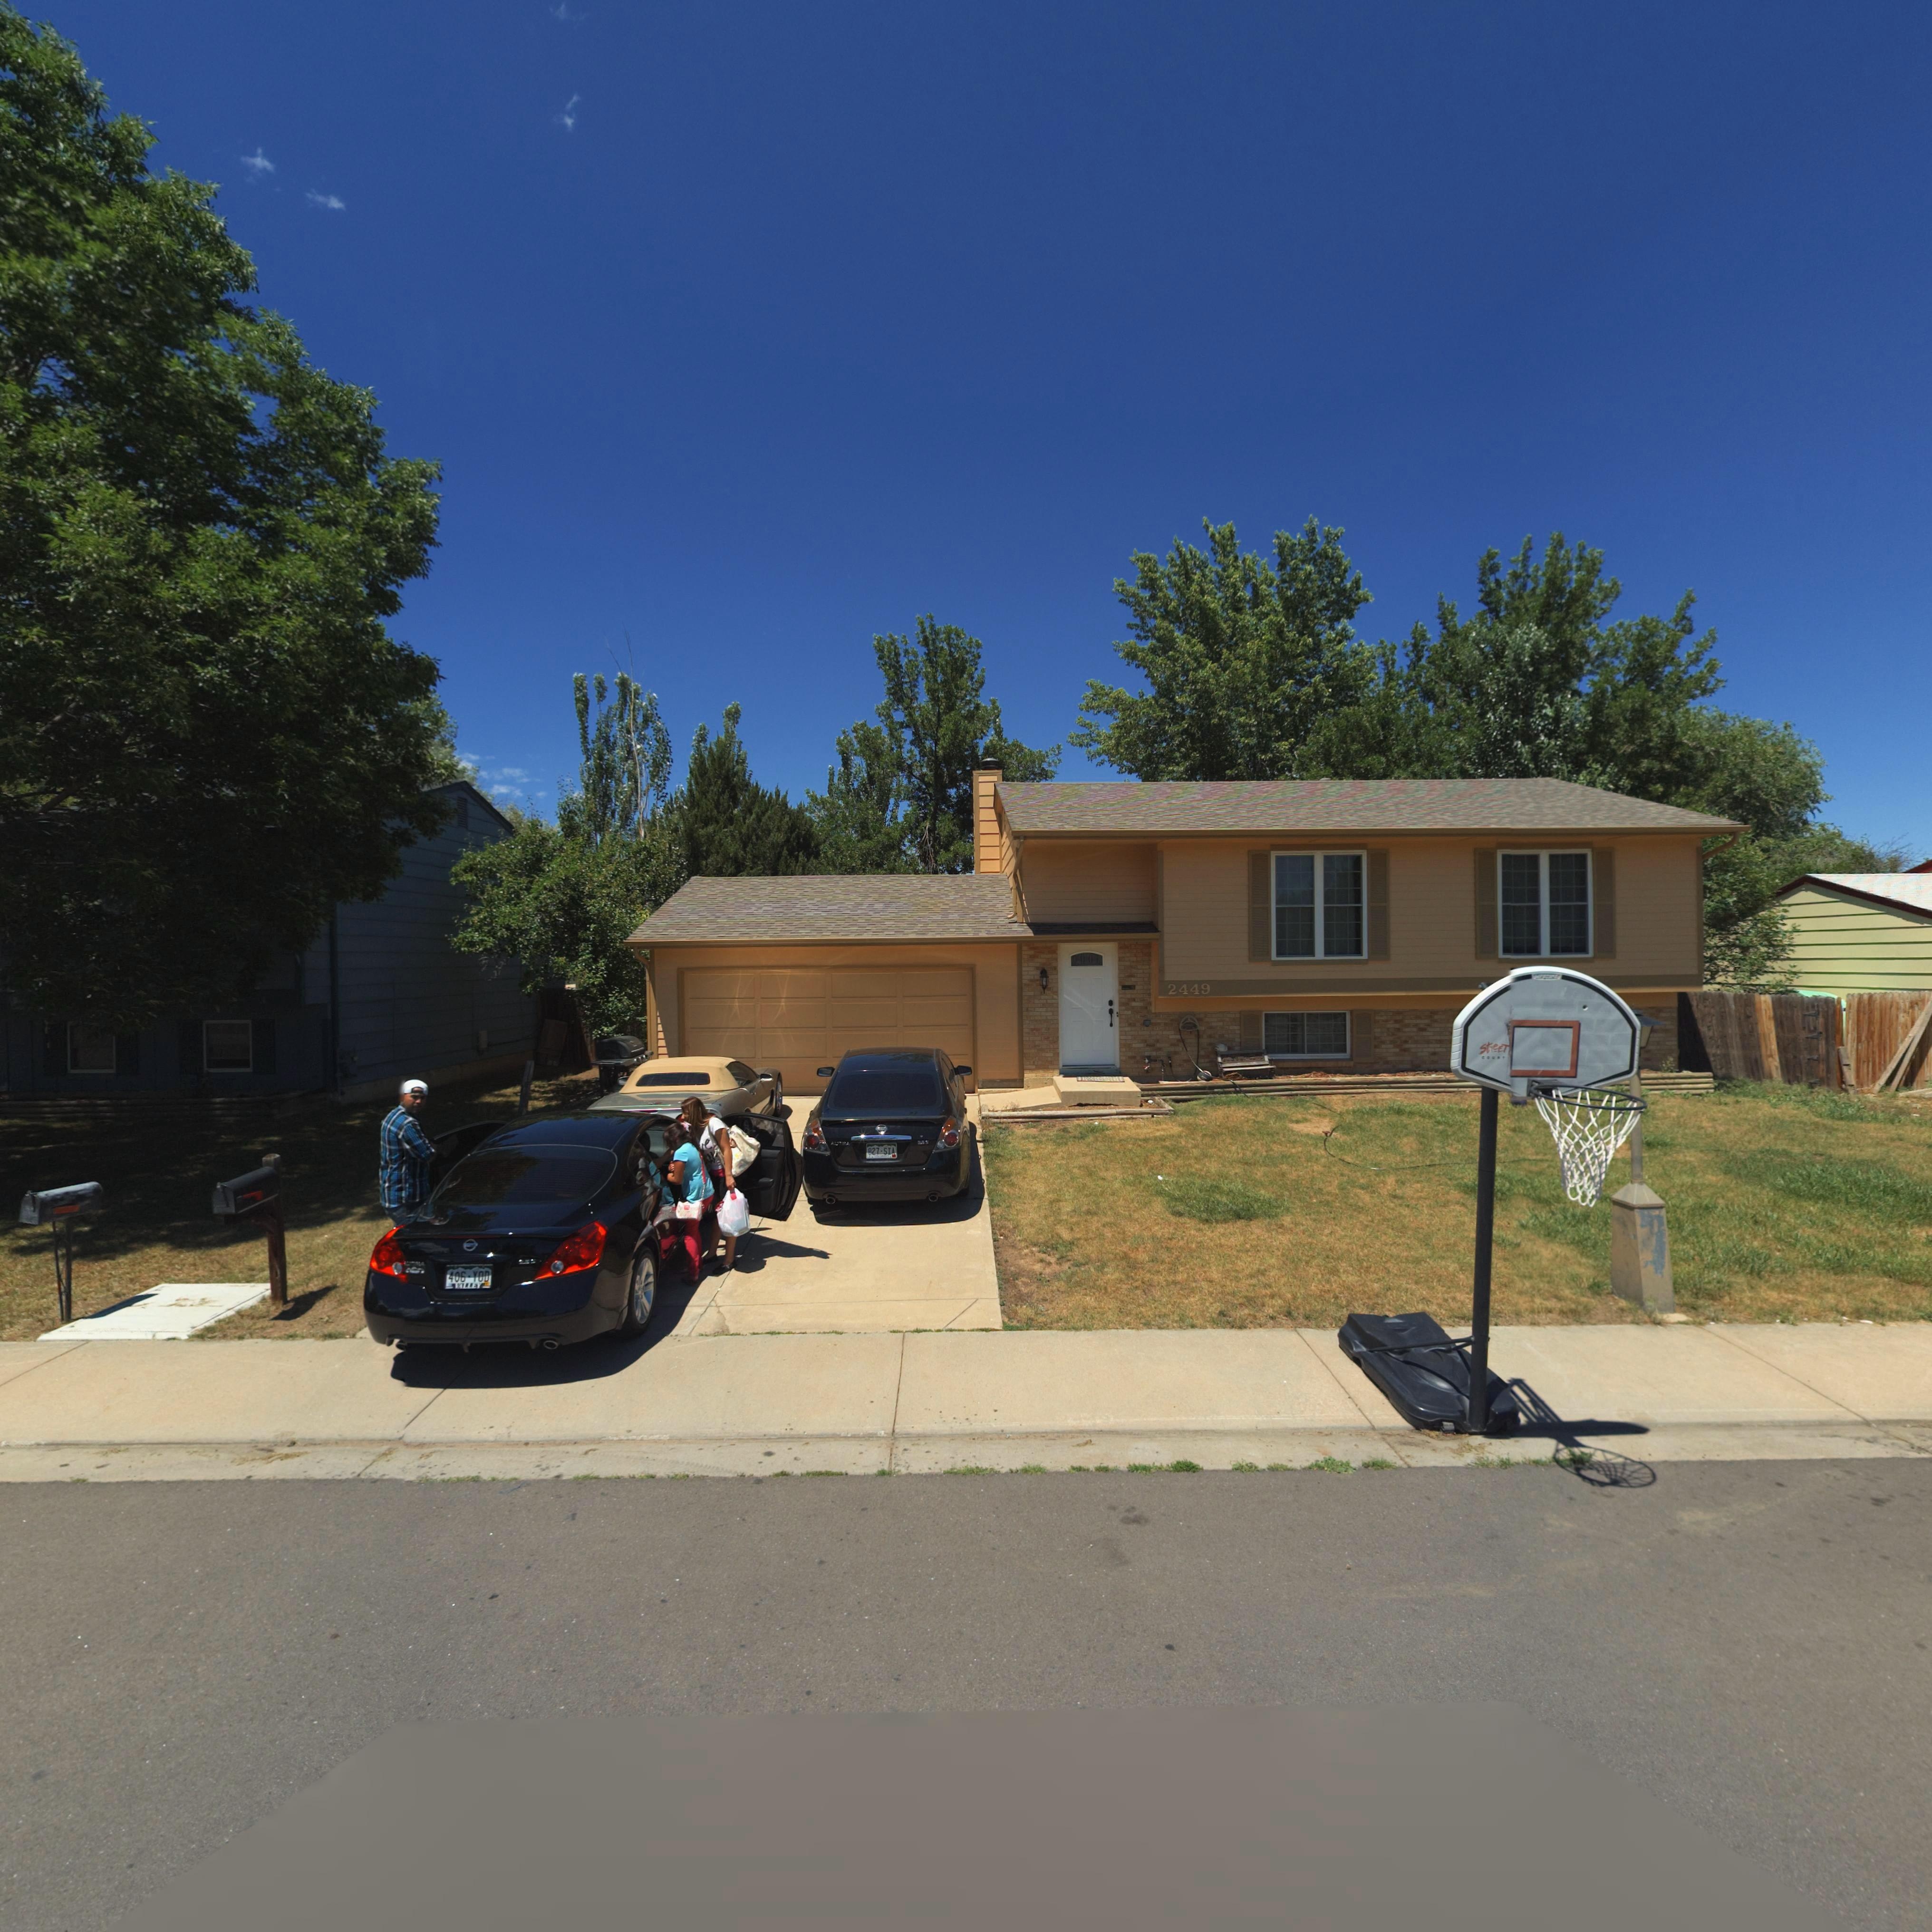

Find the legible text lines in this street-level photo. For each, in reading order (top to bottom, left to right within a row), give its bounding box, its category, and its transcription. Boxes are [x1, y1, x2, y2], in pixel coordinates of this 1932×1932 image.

[1166, 983, 1211, 995] StreetNumber: 2449